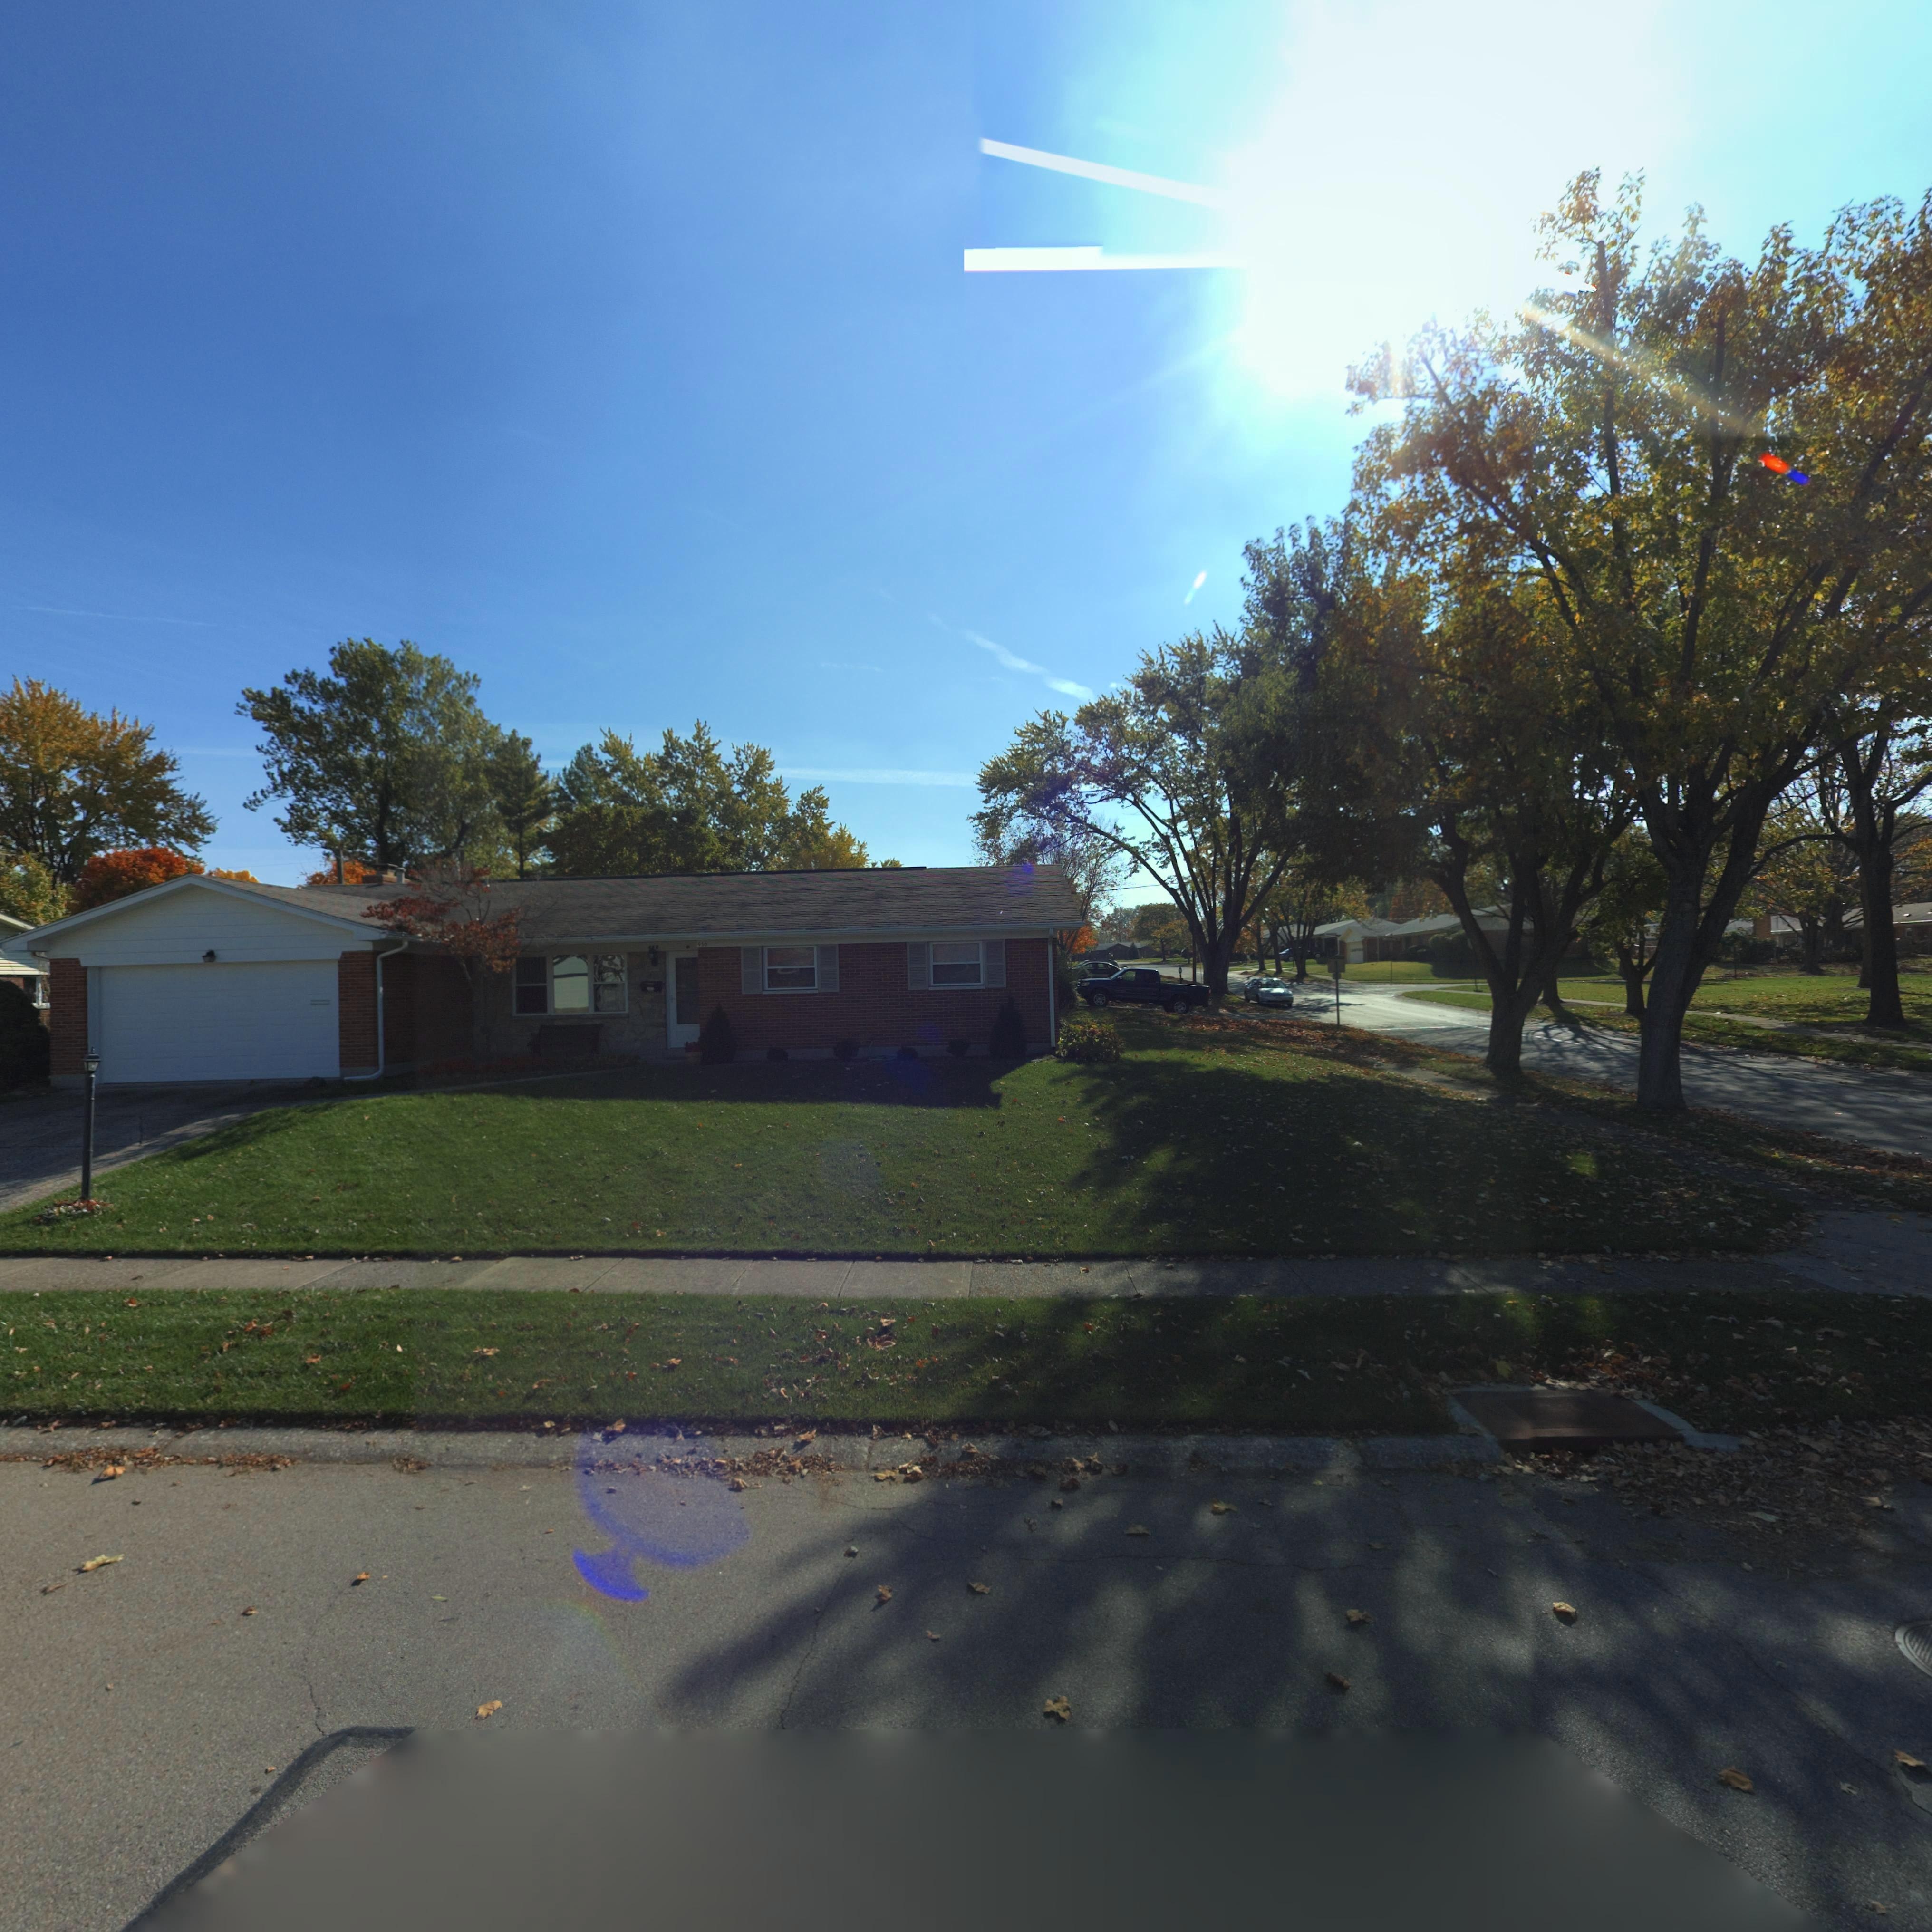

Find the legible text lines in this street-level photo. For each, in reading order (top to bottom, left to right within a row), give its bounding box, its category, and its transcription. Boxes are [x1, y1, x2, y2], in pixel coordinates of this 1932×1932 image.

[697, 941, 708, 947] StreetNumber: 950